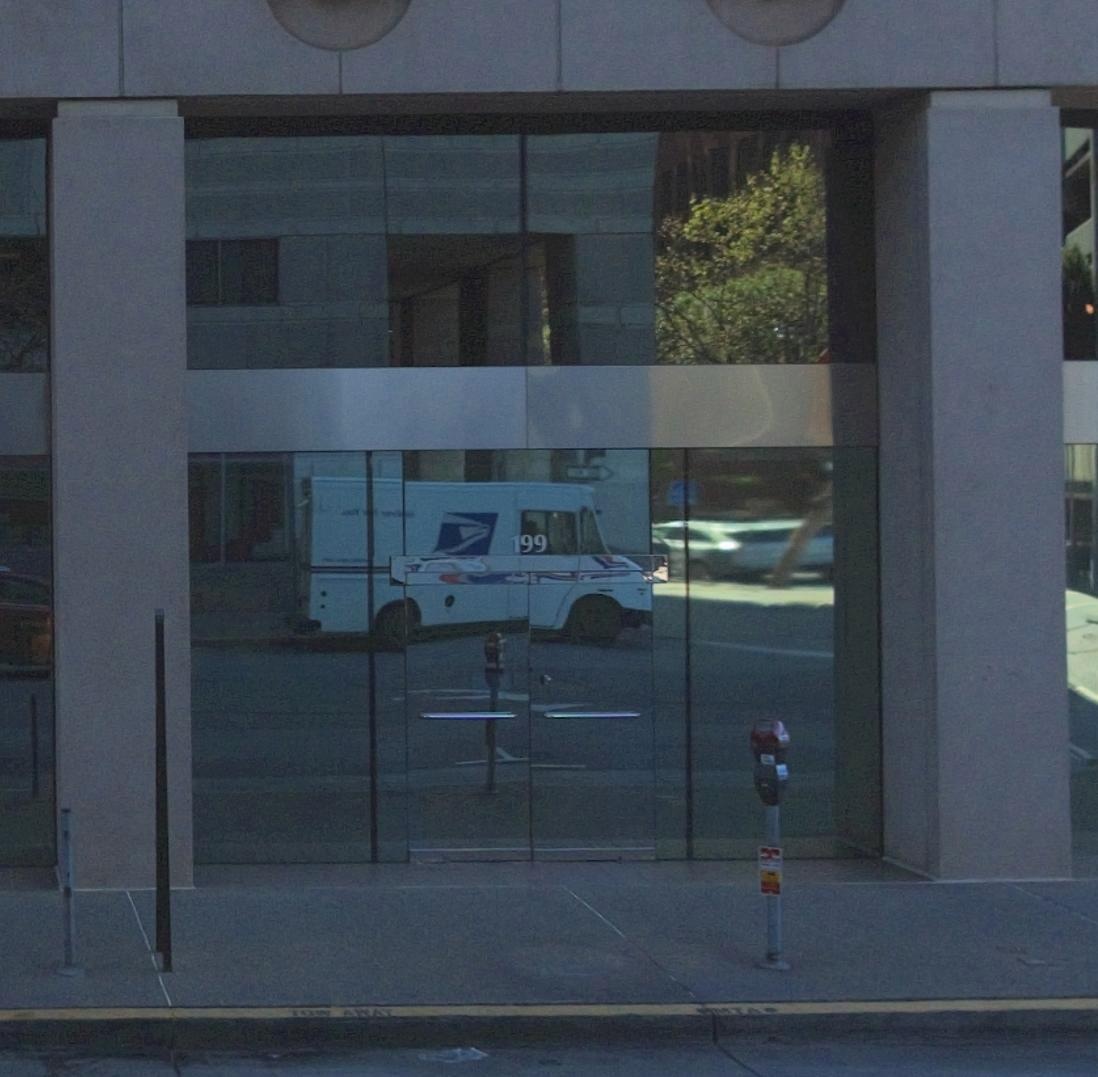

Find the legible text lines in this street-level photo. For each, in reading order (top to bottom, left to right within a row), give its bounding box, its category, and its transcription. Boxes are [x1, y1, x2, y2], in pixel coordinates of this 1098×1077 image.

[509, 533, 548, 555] StreetNumber: 199
[286, 1007, 394, 1017] None: TOW AWAY
[710, 1006, 766, 1016] None: MTA